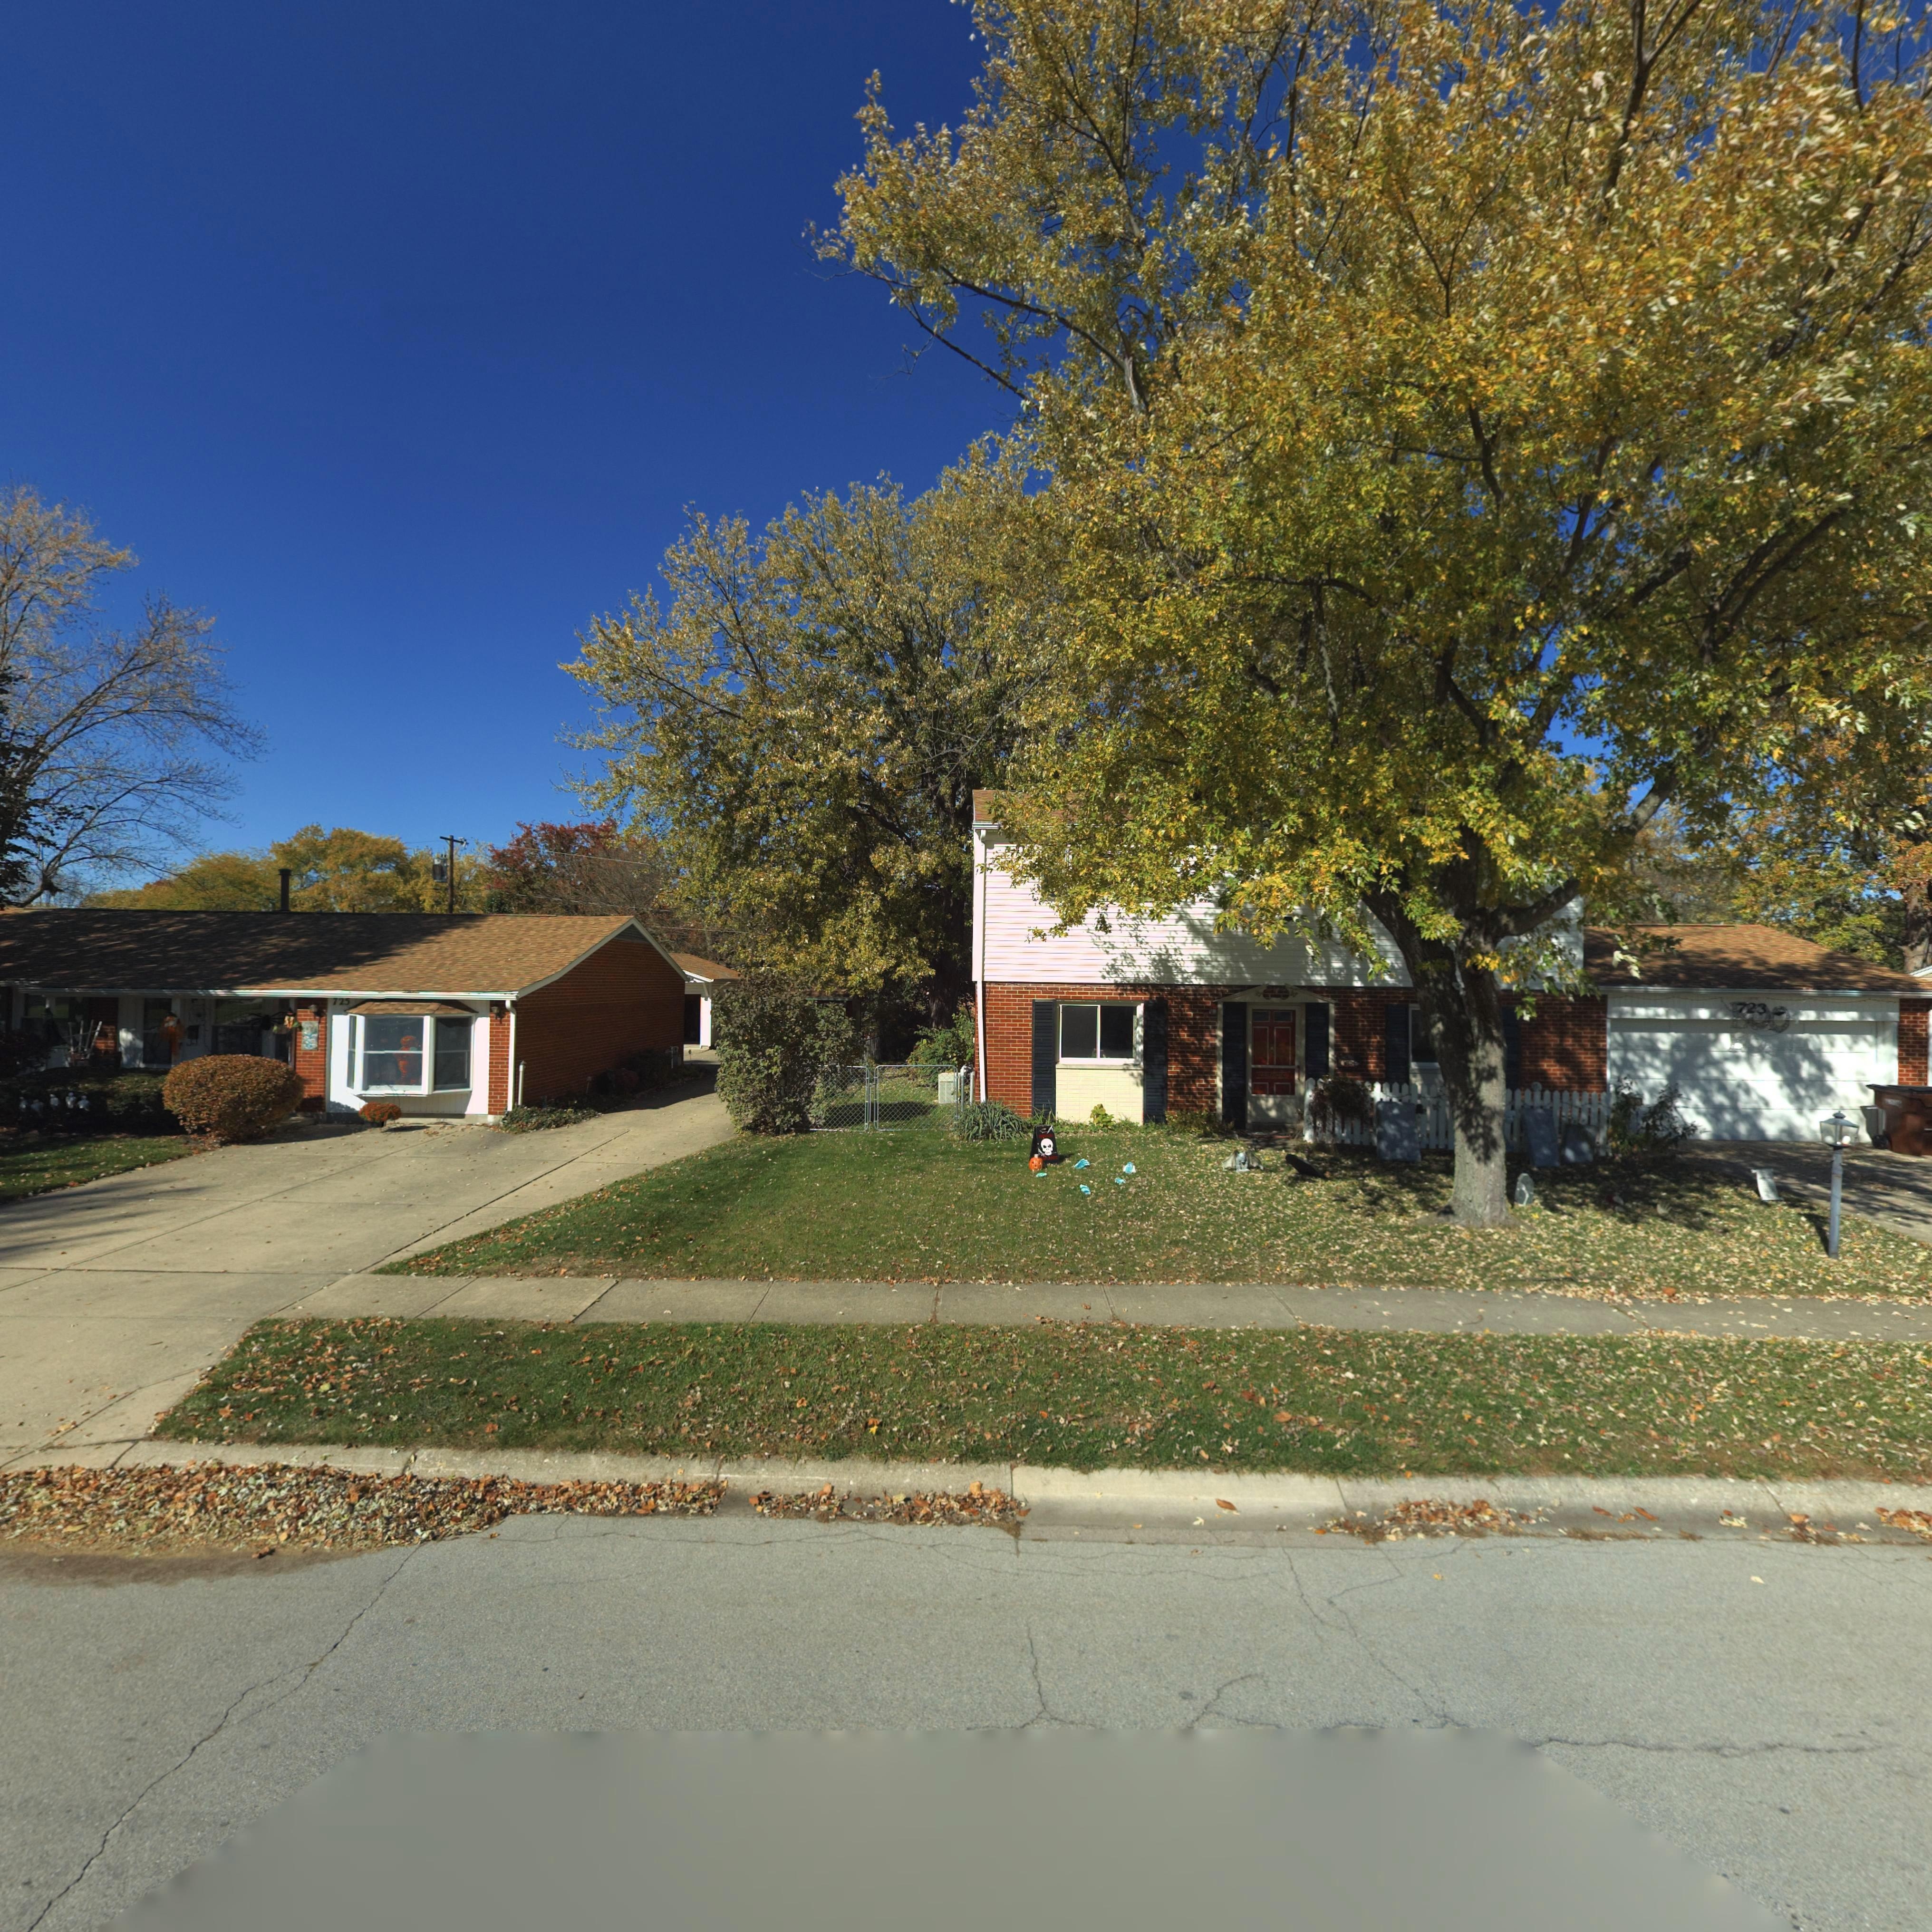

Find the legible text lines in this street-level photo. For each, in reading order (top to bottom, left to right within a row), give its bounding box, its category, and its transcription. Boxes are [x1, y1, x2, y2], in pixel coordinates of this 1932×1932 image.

[331, 996, 351, 1006] StreetNumber: 725
[1737, 1001, 1768, 1015] StreetNumber: 723